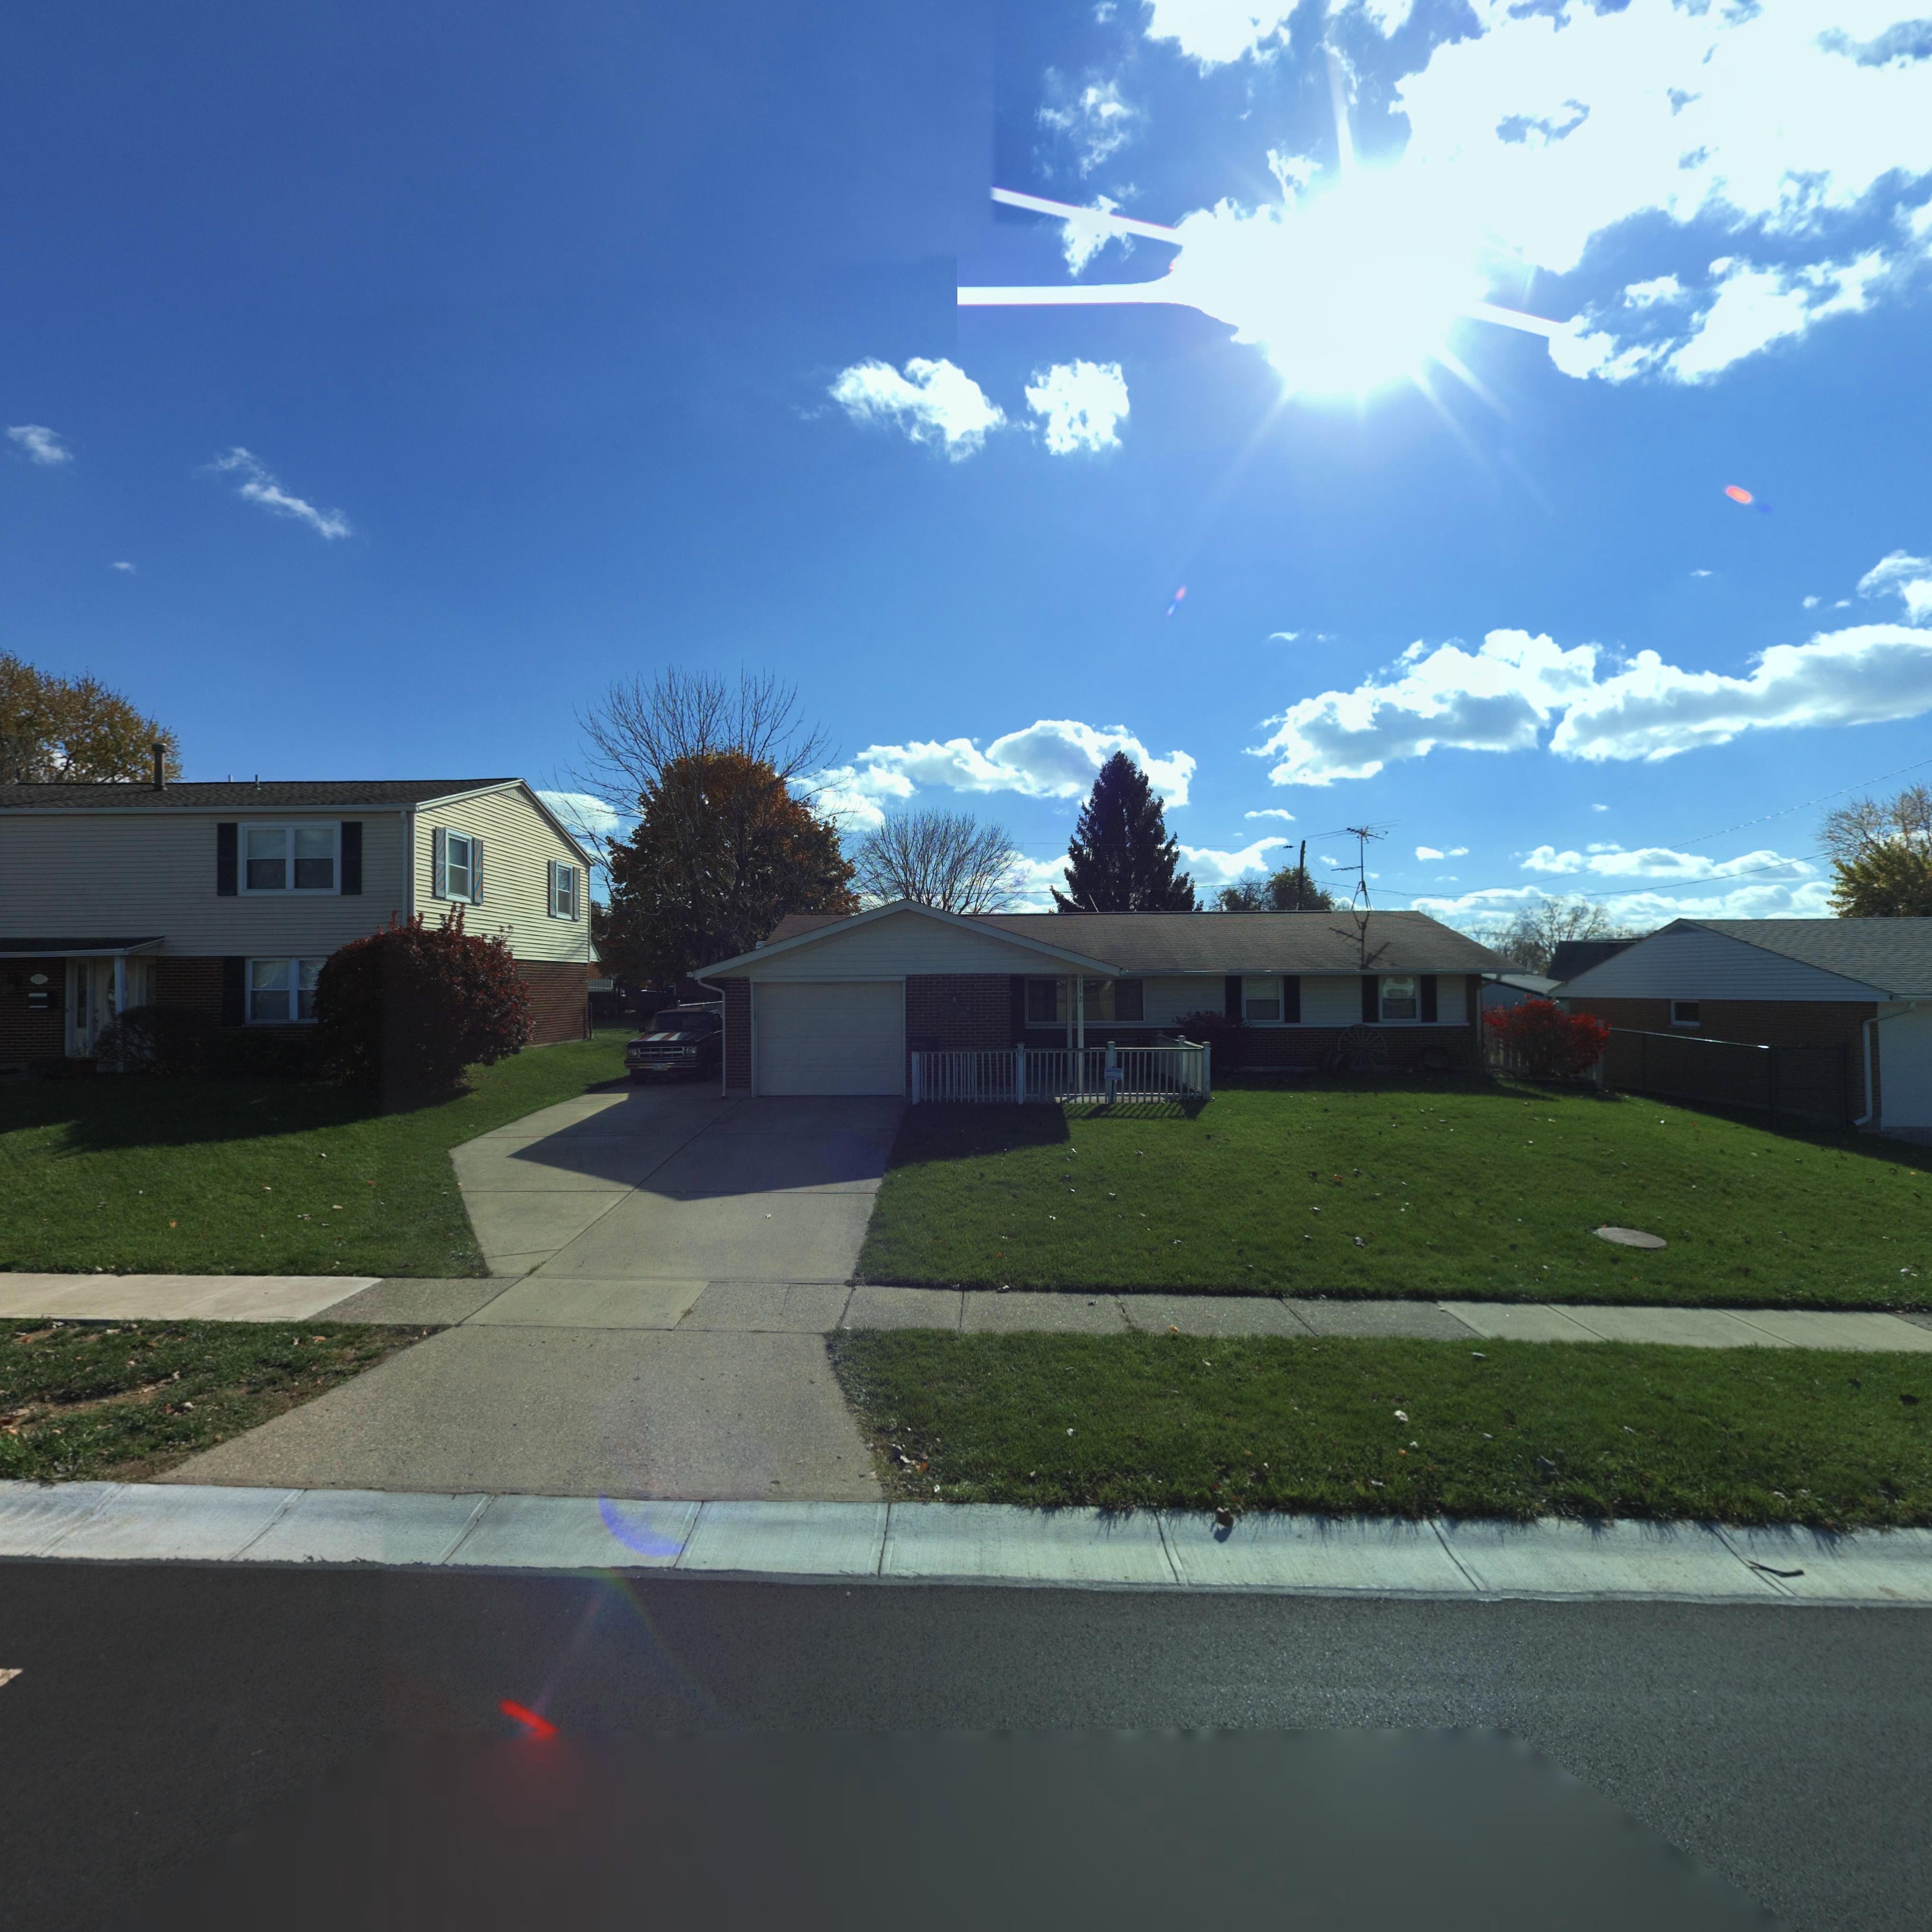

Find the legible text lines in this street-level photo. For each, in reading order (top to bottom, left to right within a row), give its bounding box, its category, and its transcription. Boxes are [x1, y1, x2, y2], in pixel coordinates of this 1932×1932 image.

[32, 975, 45, 982] StreetNumber: 77**
[1078, 976, 1082, 1003] StreetNumber: 7712
[949, 1012, 959, 1018] StreetNumber: 7***